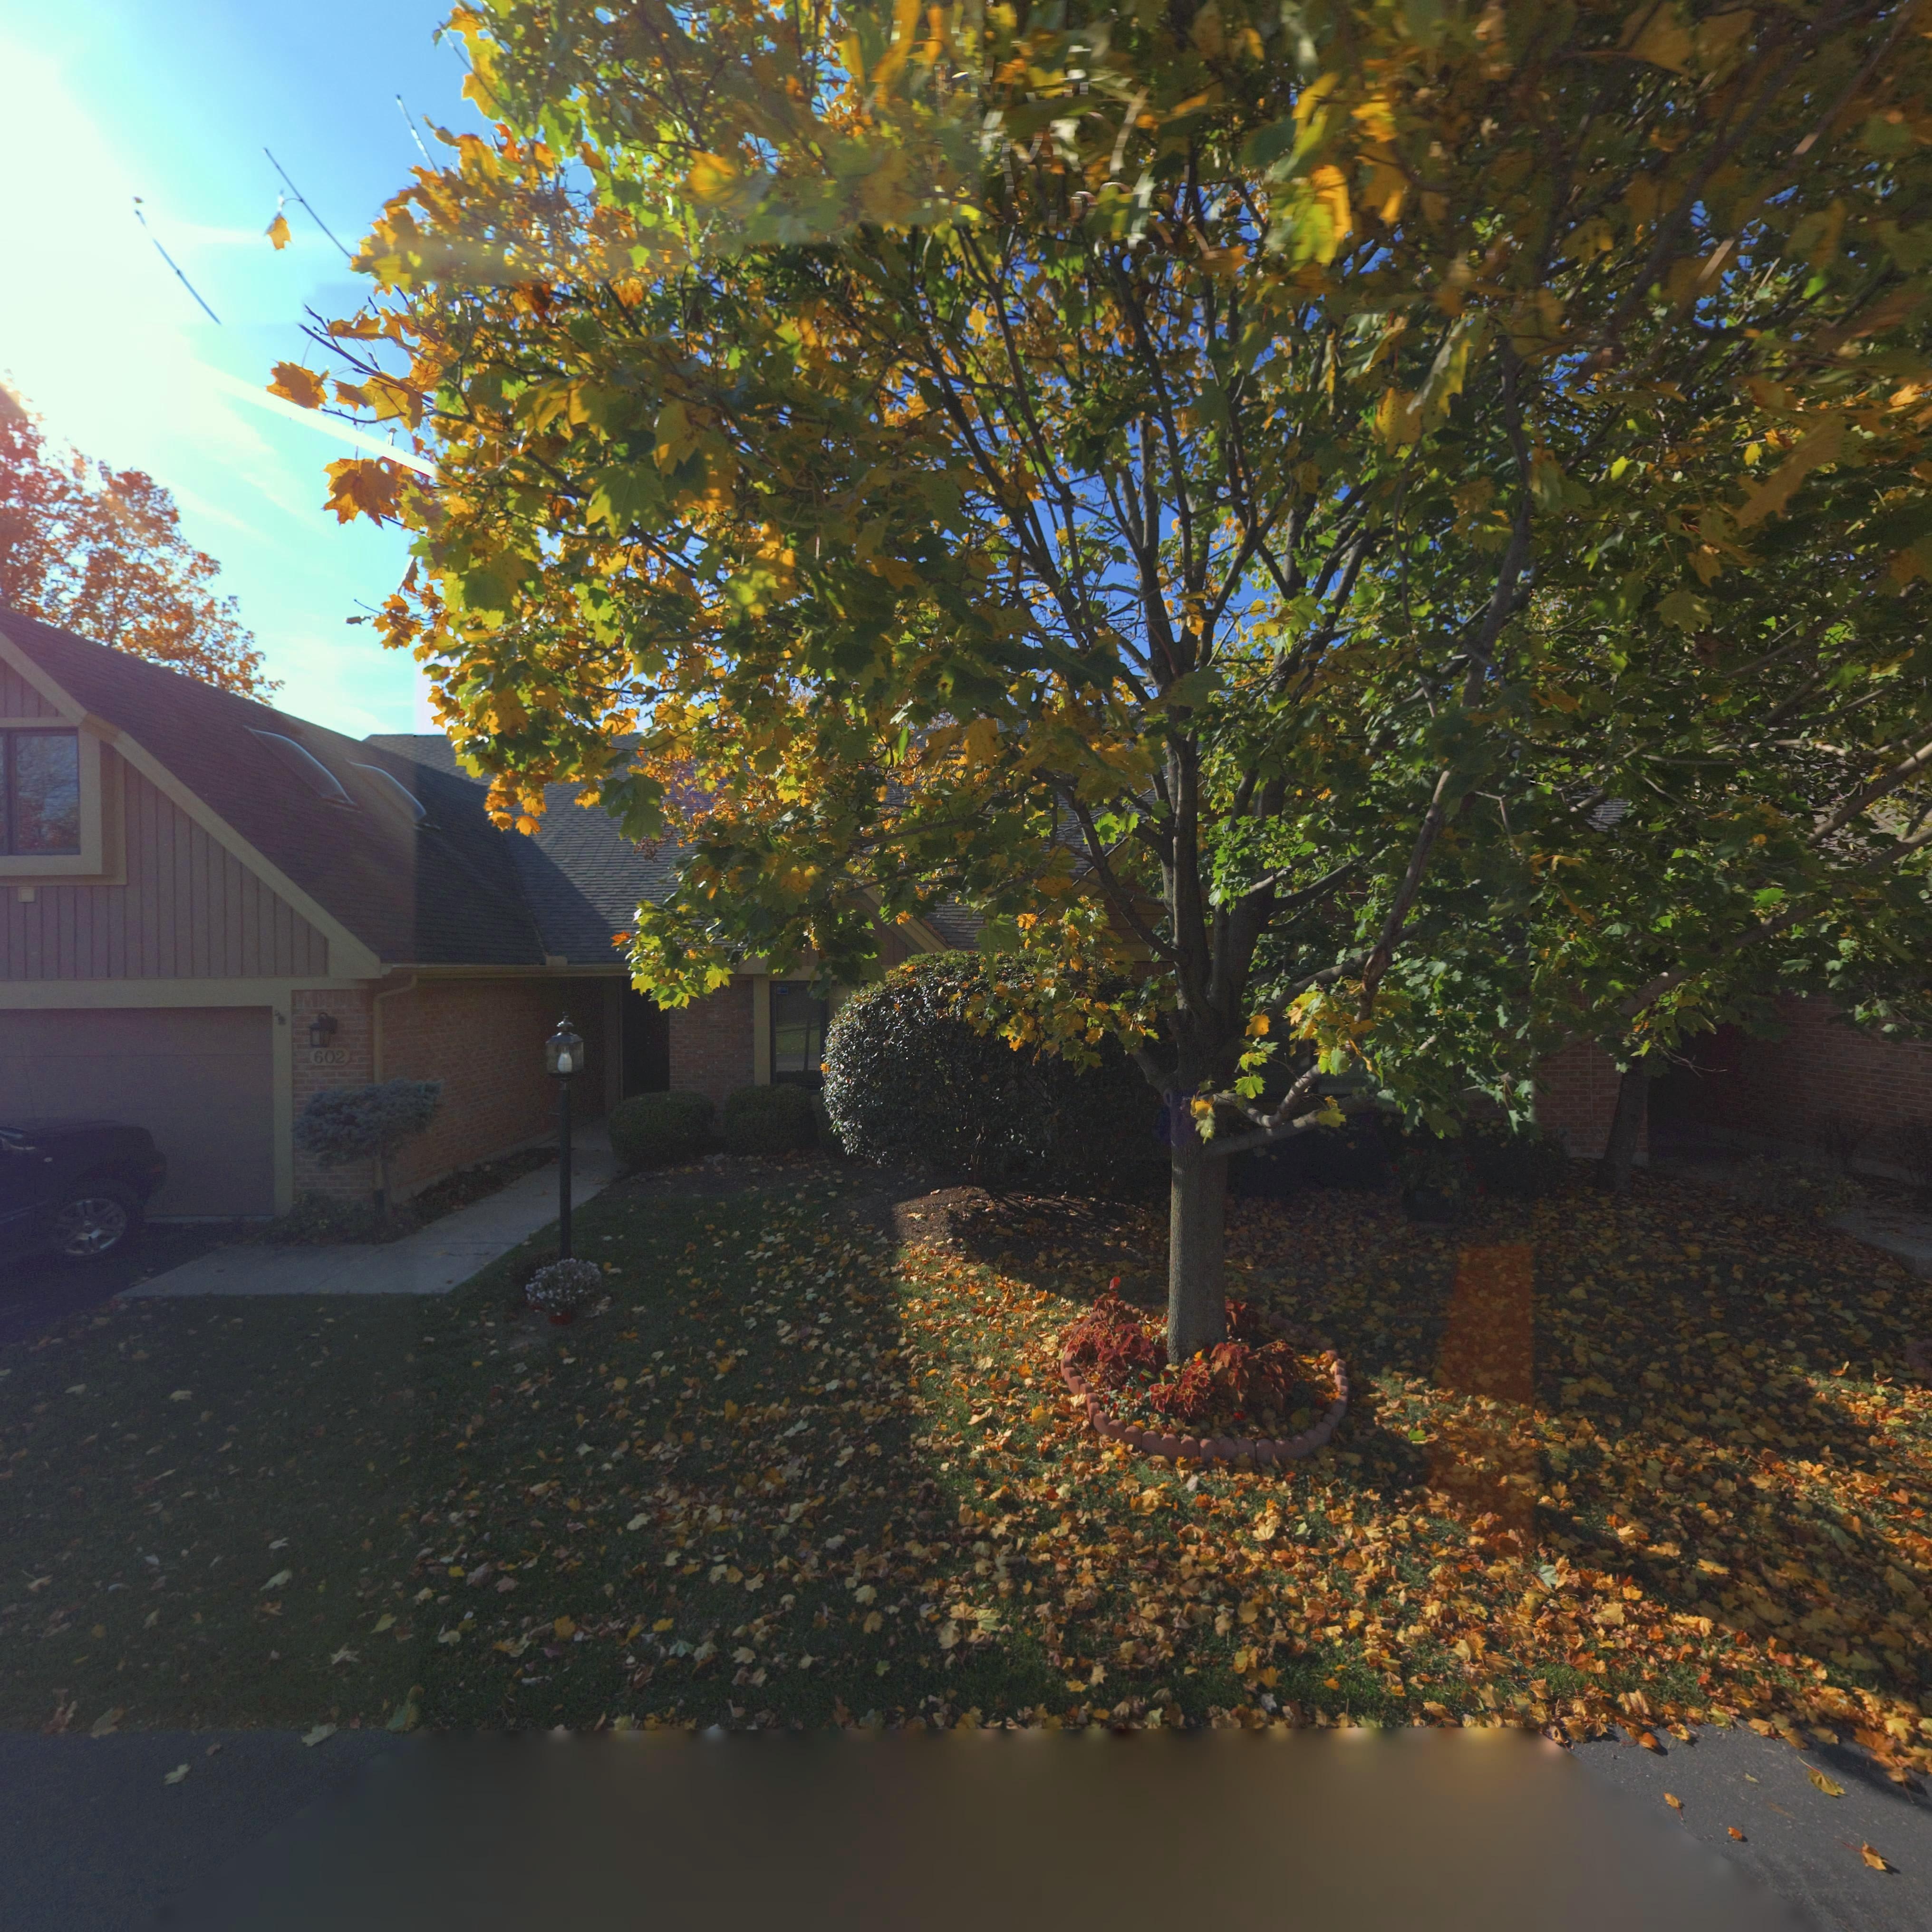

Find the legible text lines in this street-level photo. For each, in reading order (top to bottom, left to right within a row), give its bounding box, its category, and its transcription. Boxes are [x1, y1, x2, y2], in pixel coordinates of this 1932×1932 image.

[312, 1048, 347, 1066] StreetNumber: 602